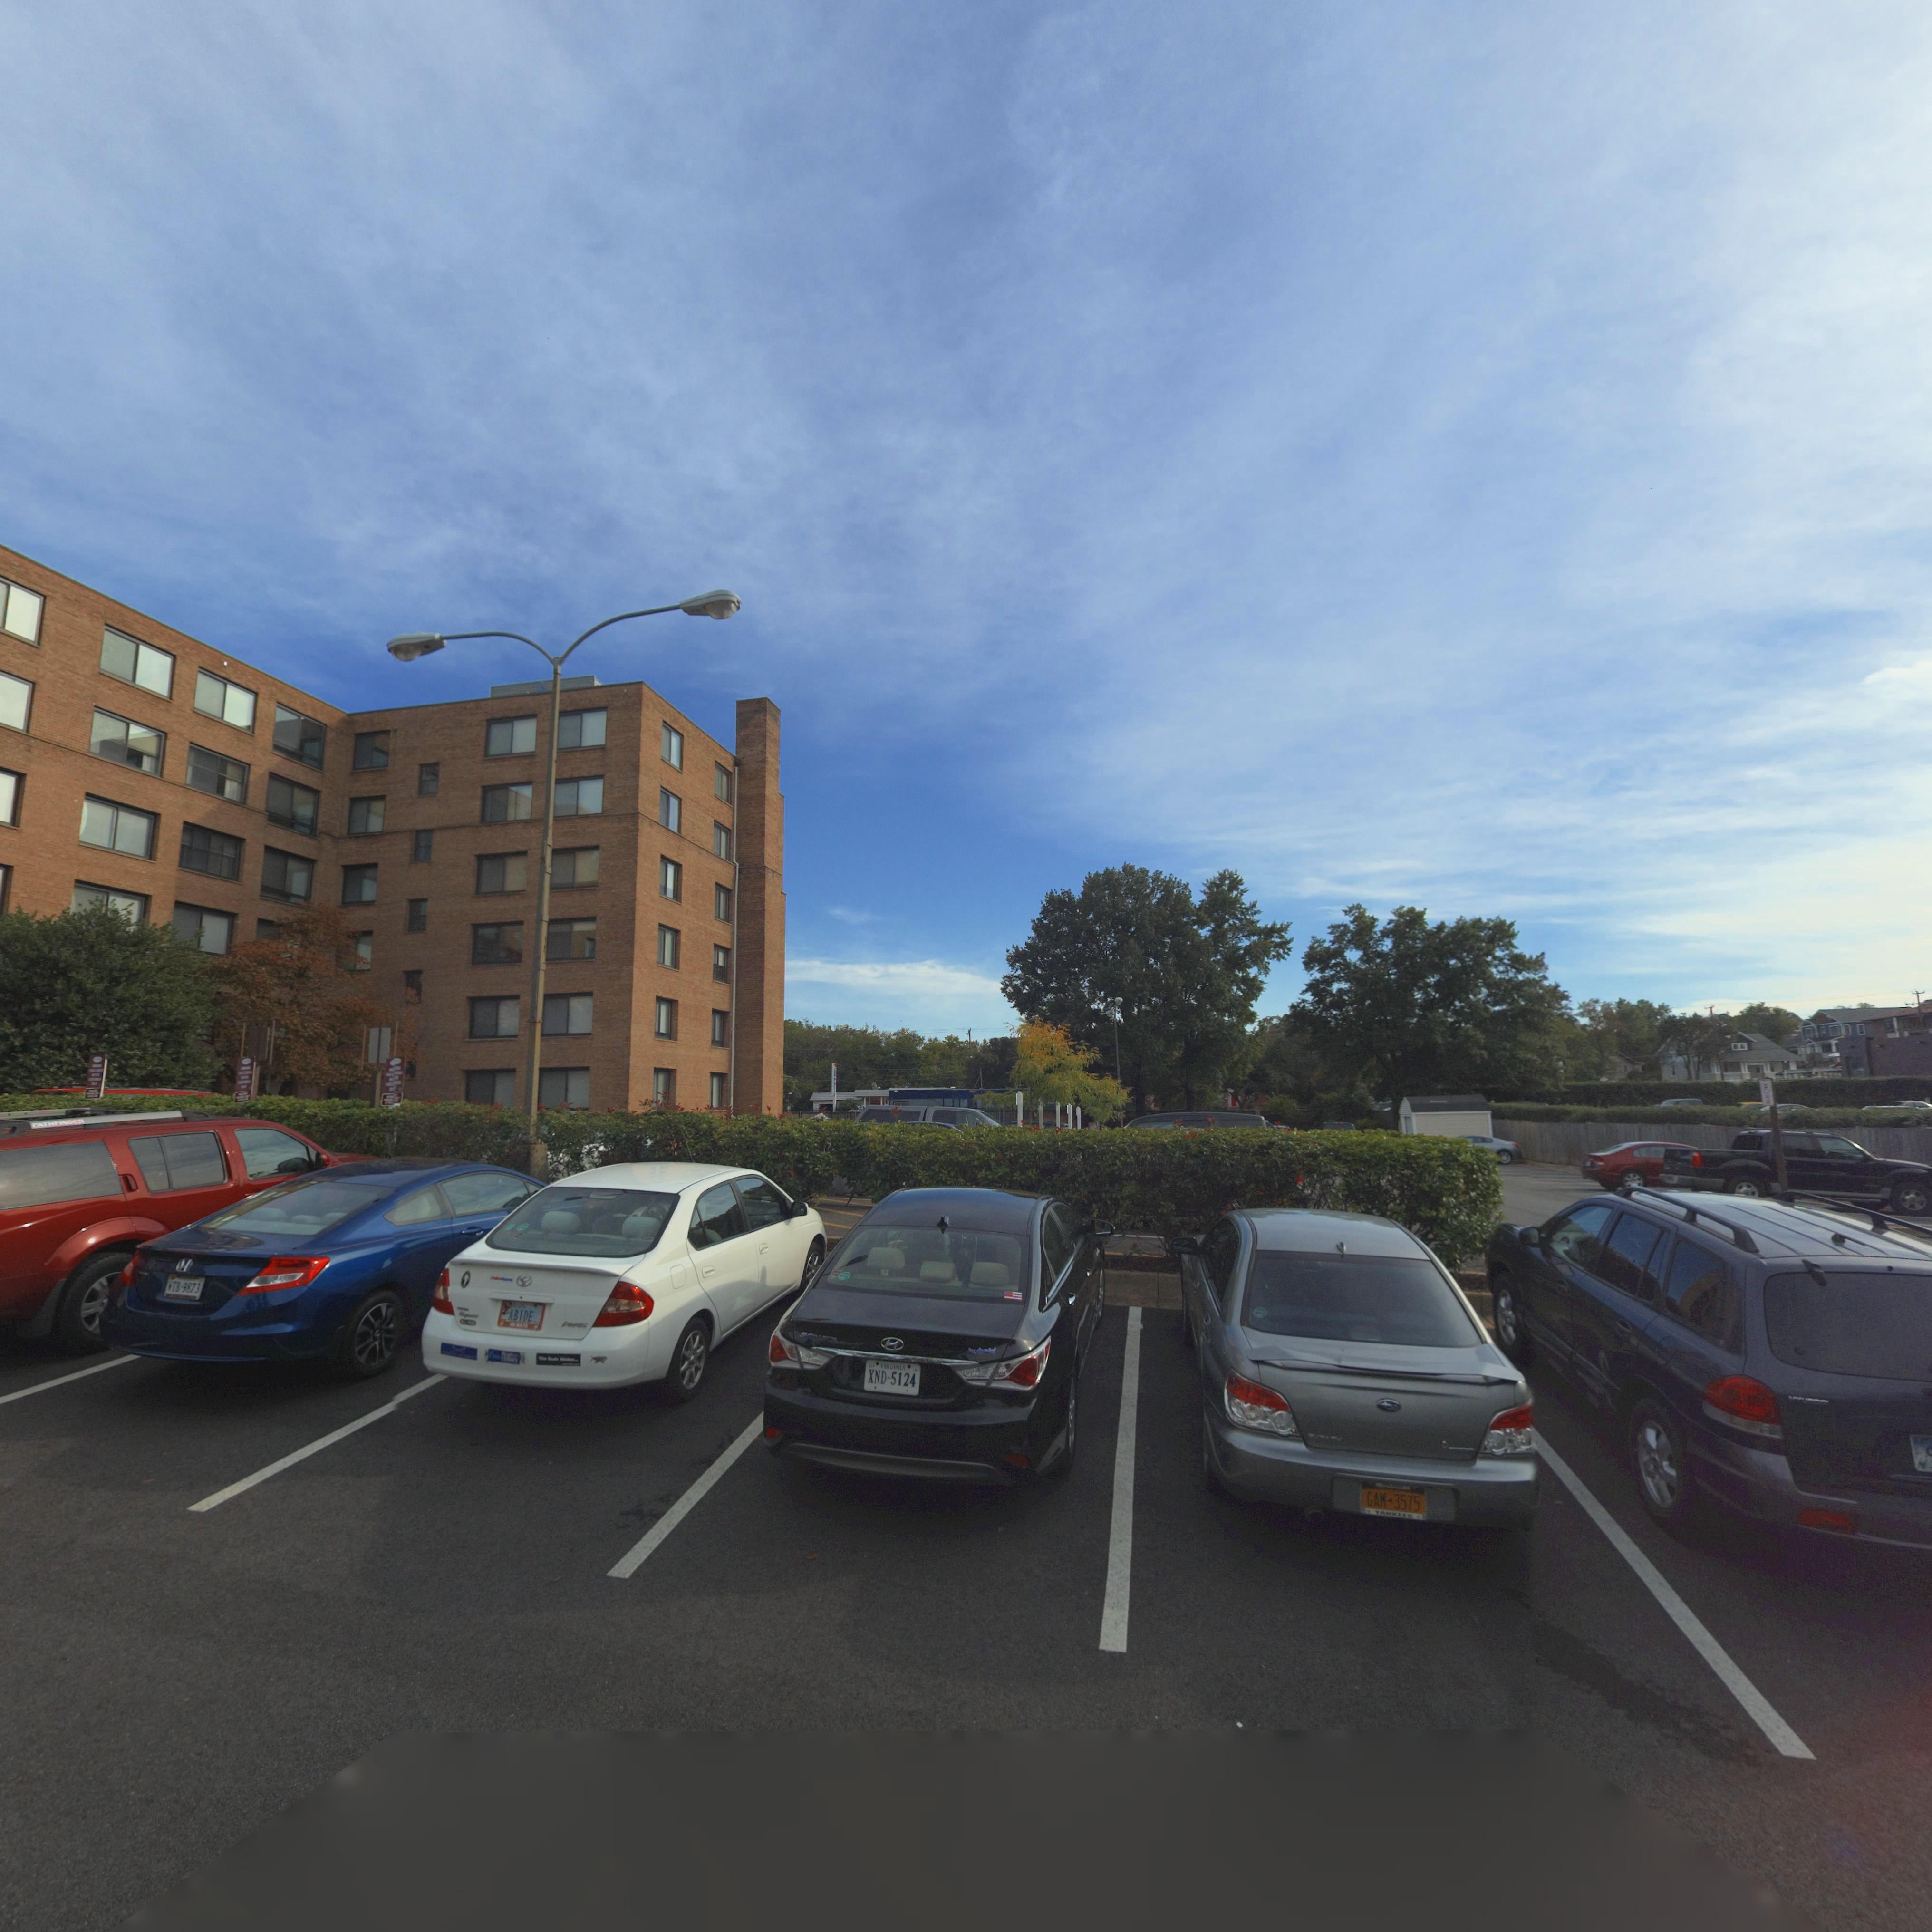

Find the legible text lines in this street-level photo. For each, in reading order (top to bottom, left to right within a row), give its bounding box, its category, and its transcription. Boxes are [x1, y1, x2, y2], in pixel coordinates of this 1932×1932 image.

[171, 1280, 202, 1295] None: T8-9873
[506, 1307, 534, 1324] None: ABIDE
[880, 1362, 907, 1372] None: VIRGINIA
[866, 1368, 917, 1389] None: XND-5124
[1366, 1489, 1421, 1514] None: GAM*3575
[1375, 1509, 1399, 1518] None: YANK